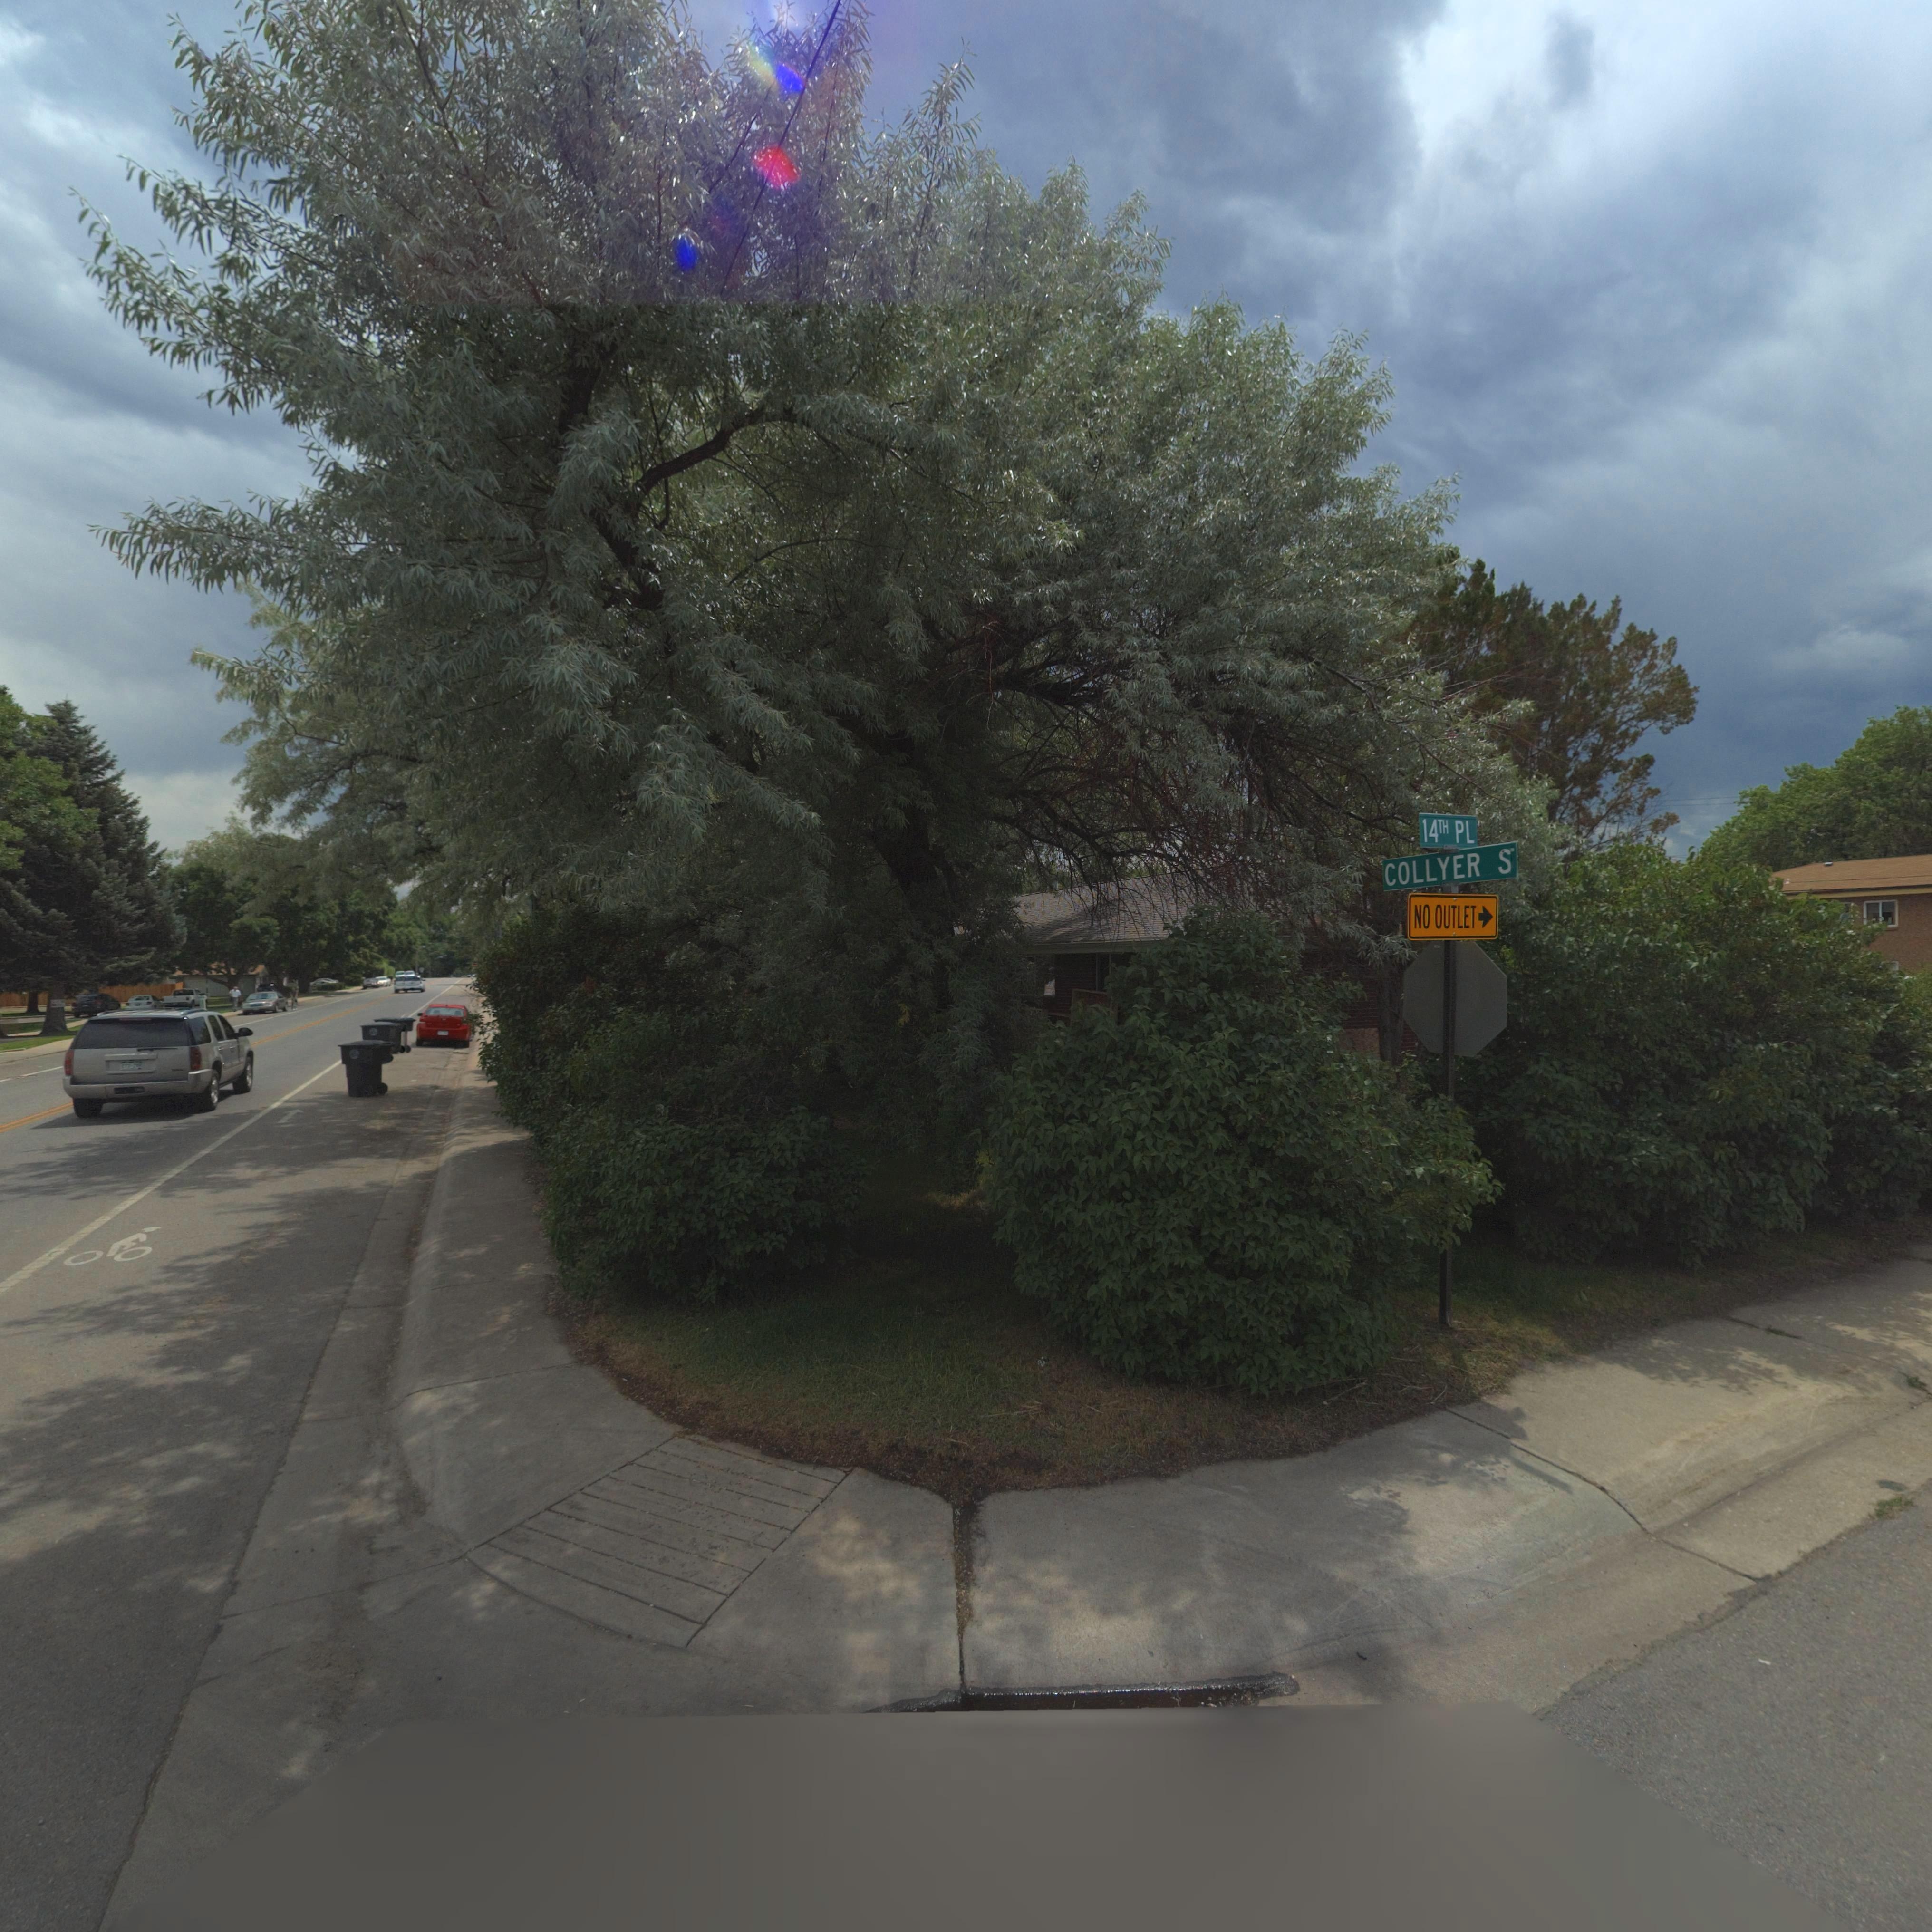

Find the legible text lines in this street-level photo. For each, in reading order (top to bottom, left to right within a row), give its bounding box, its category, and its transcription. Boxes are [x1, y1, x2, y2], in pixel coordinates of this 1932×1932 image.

[1421, 818, 1475, 844] StreetName: 14TH PL
[1384, 847, 1511, 887] StreetName: COLLYER S